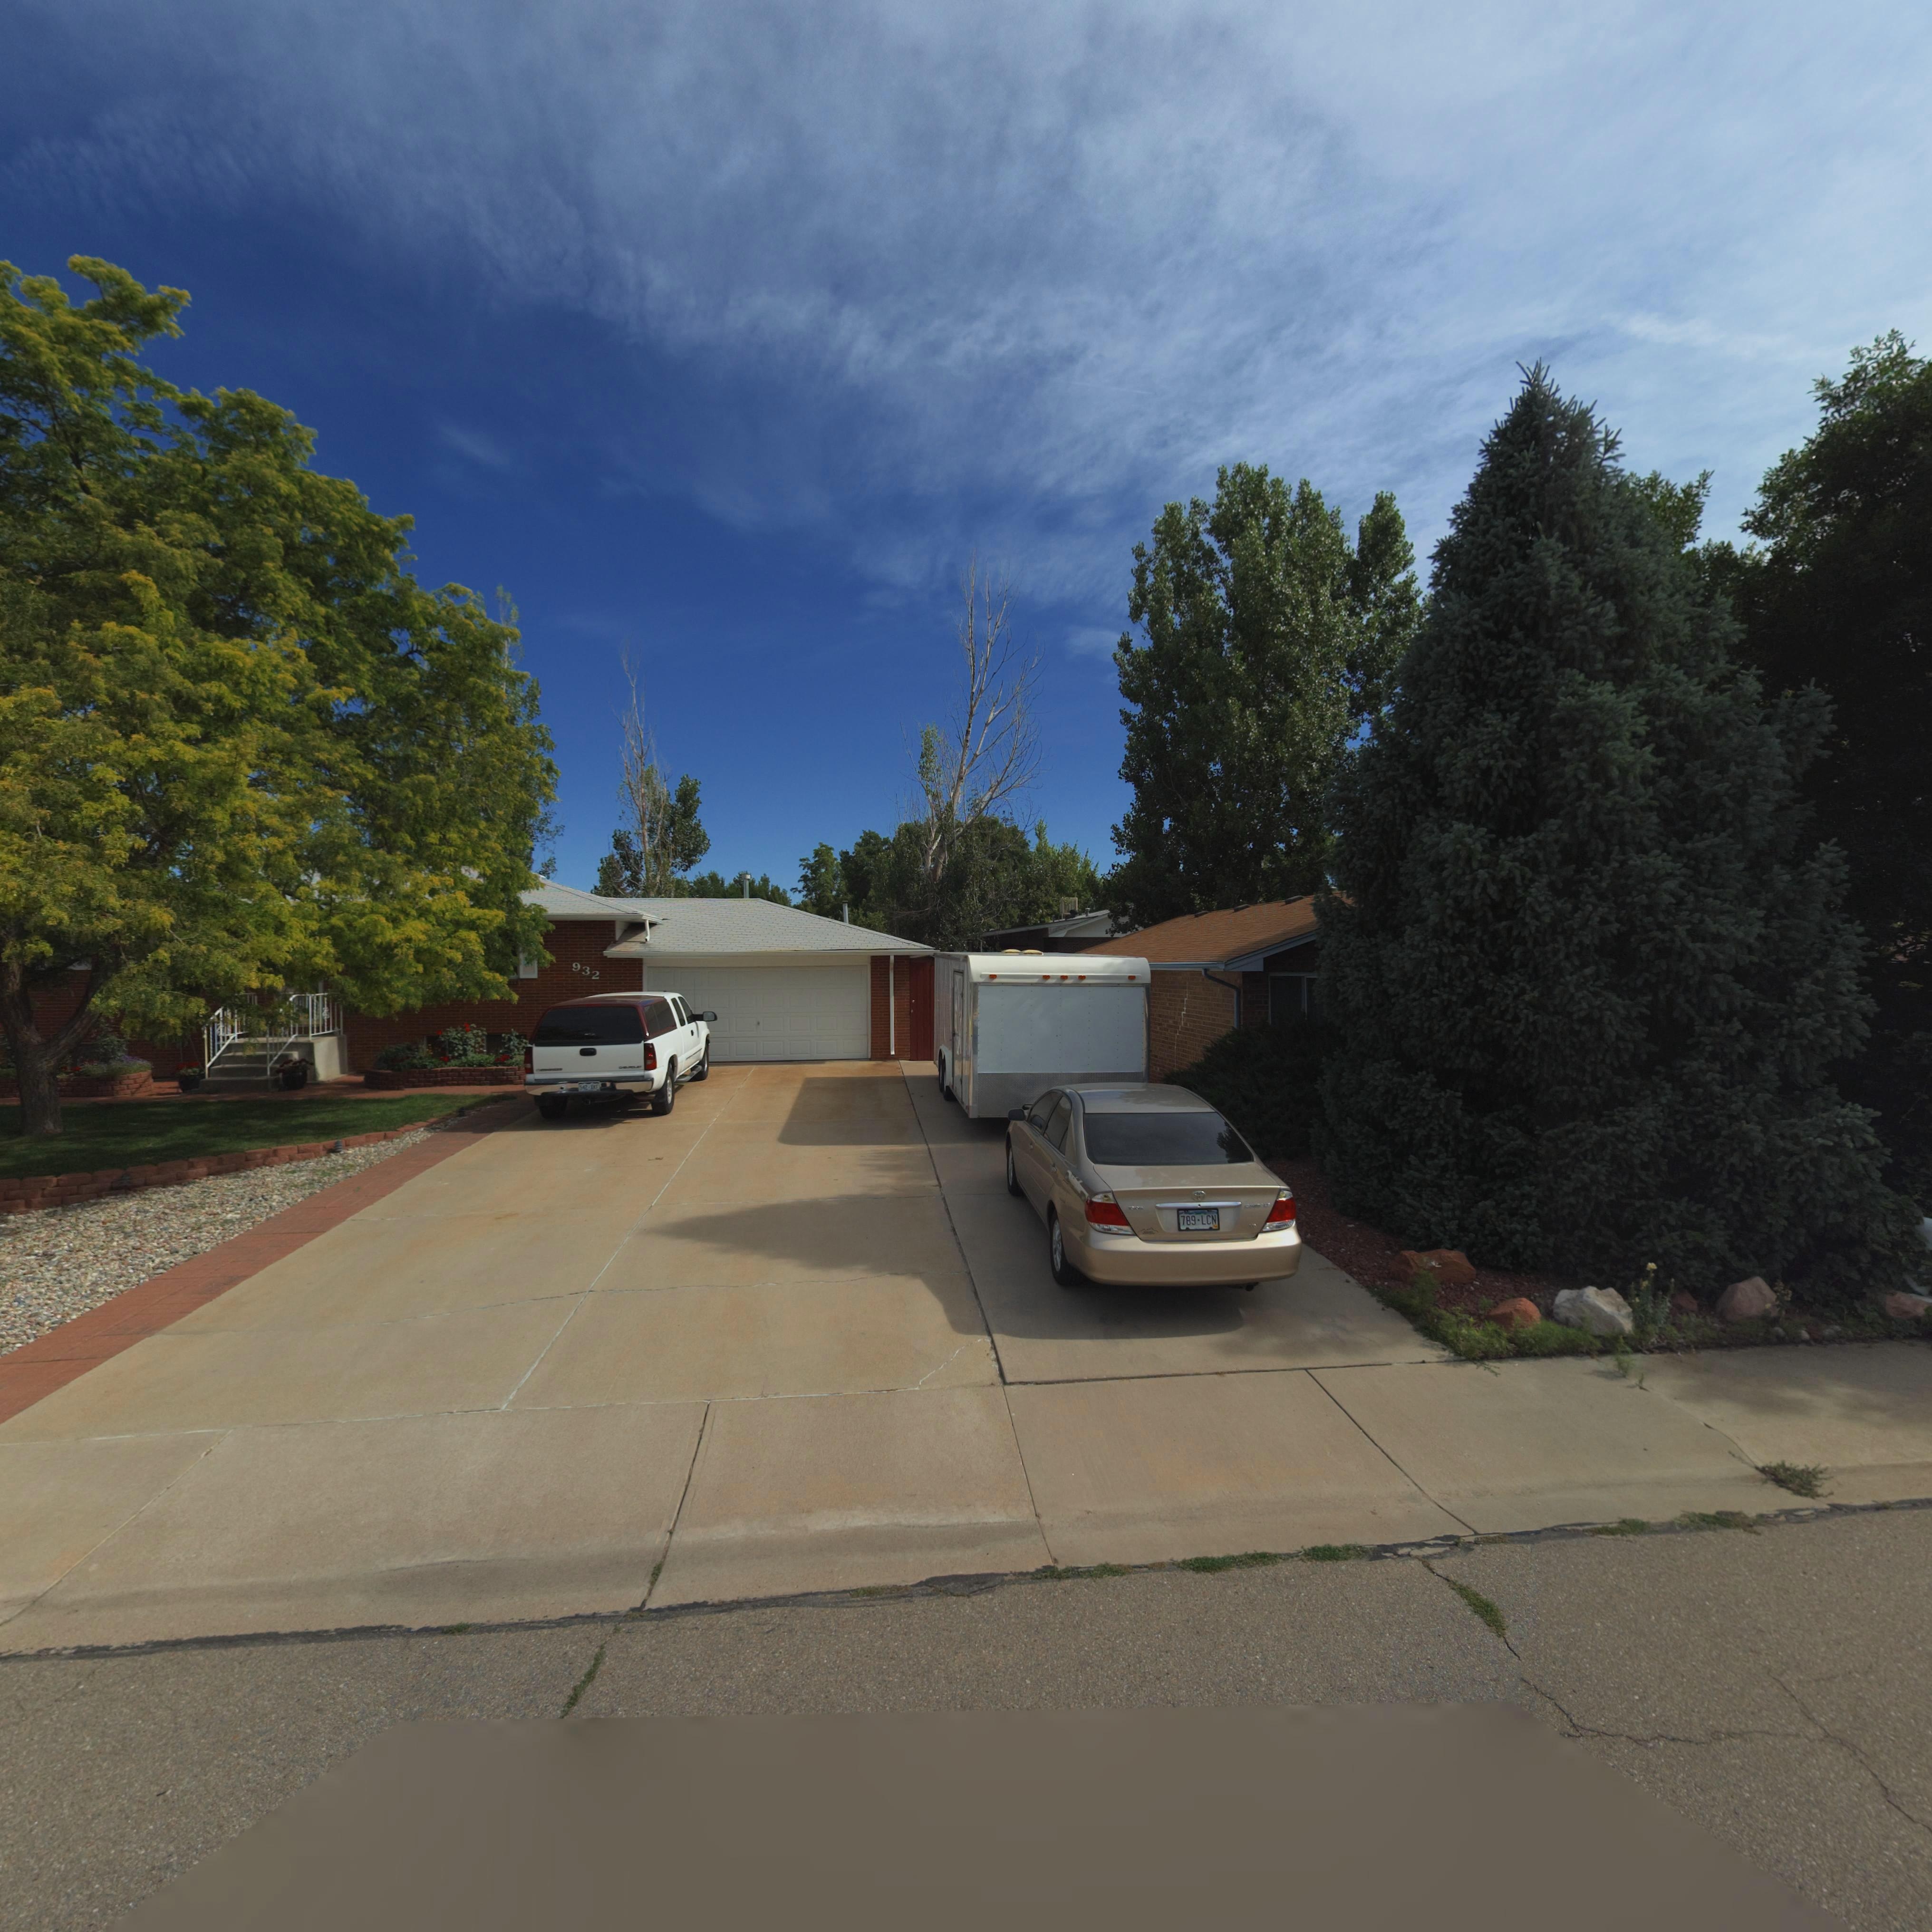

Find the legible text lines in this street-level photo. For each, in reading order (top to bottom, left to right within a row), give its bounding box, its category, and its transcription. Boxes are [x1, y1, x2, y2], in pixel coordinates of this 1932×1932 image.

[570, 960, 600, 980] StreetNumber: 932